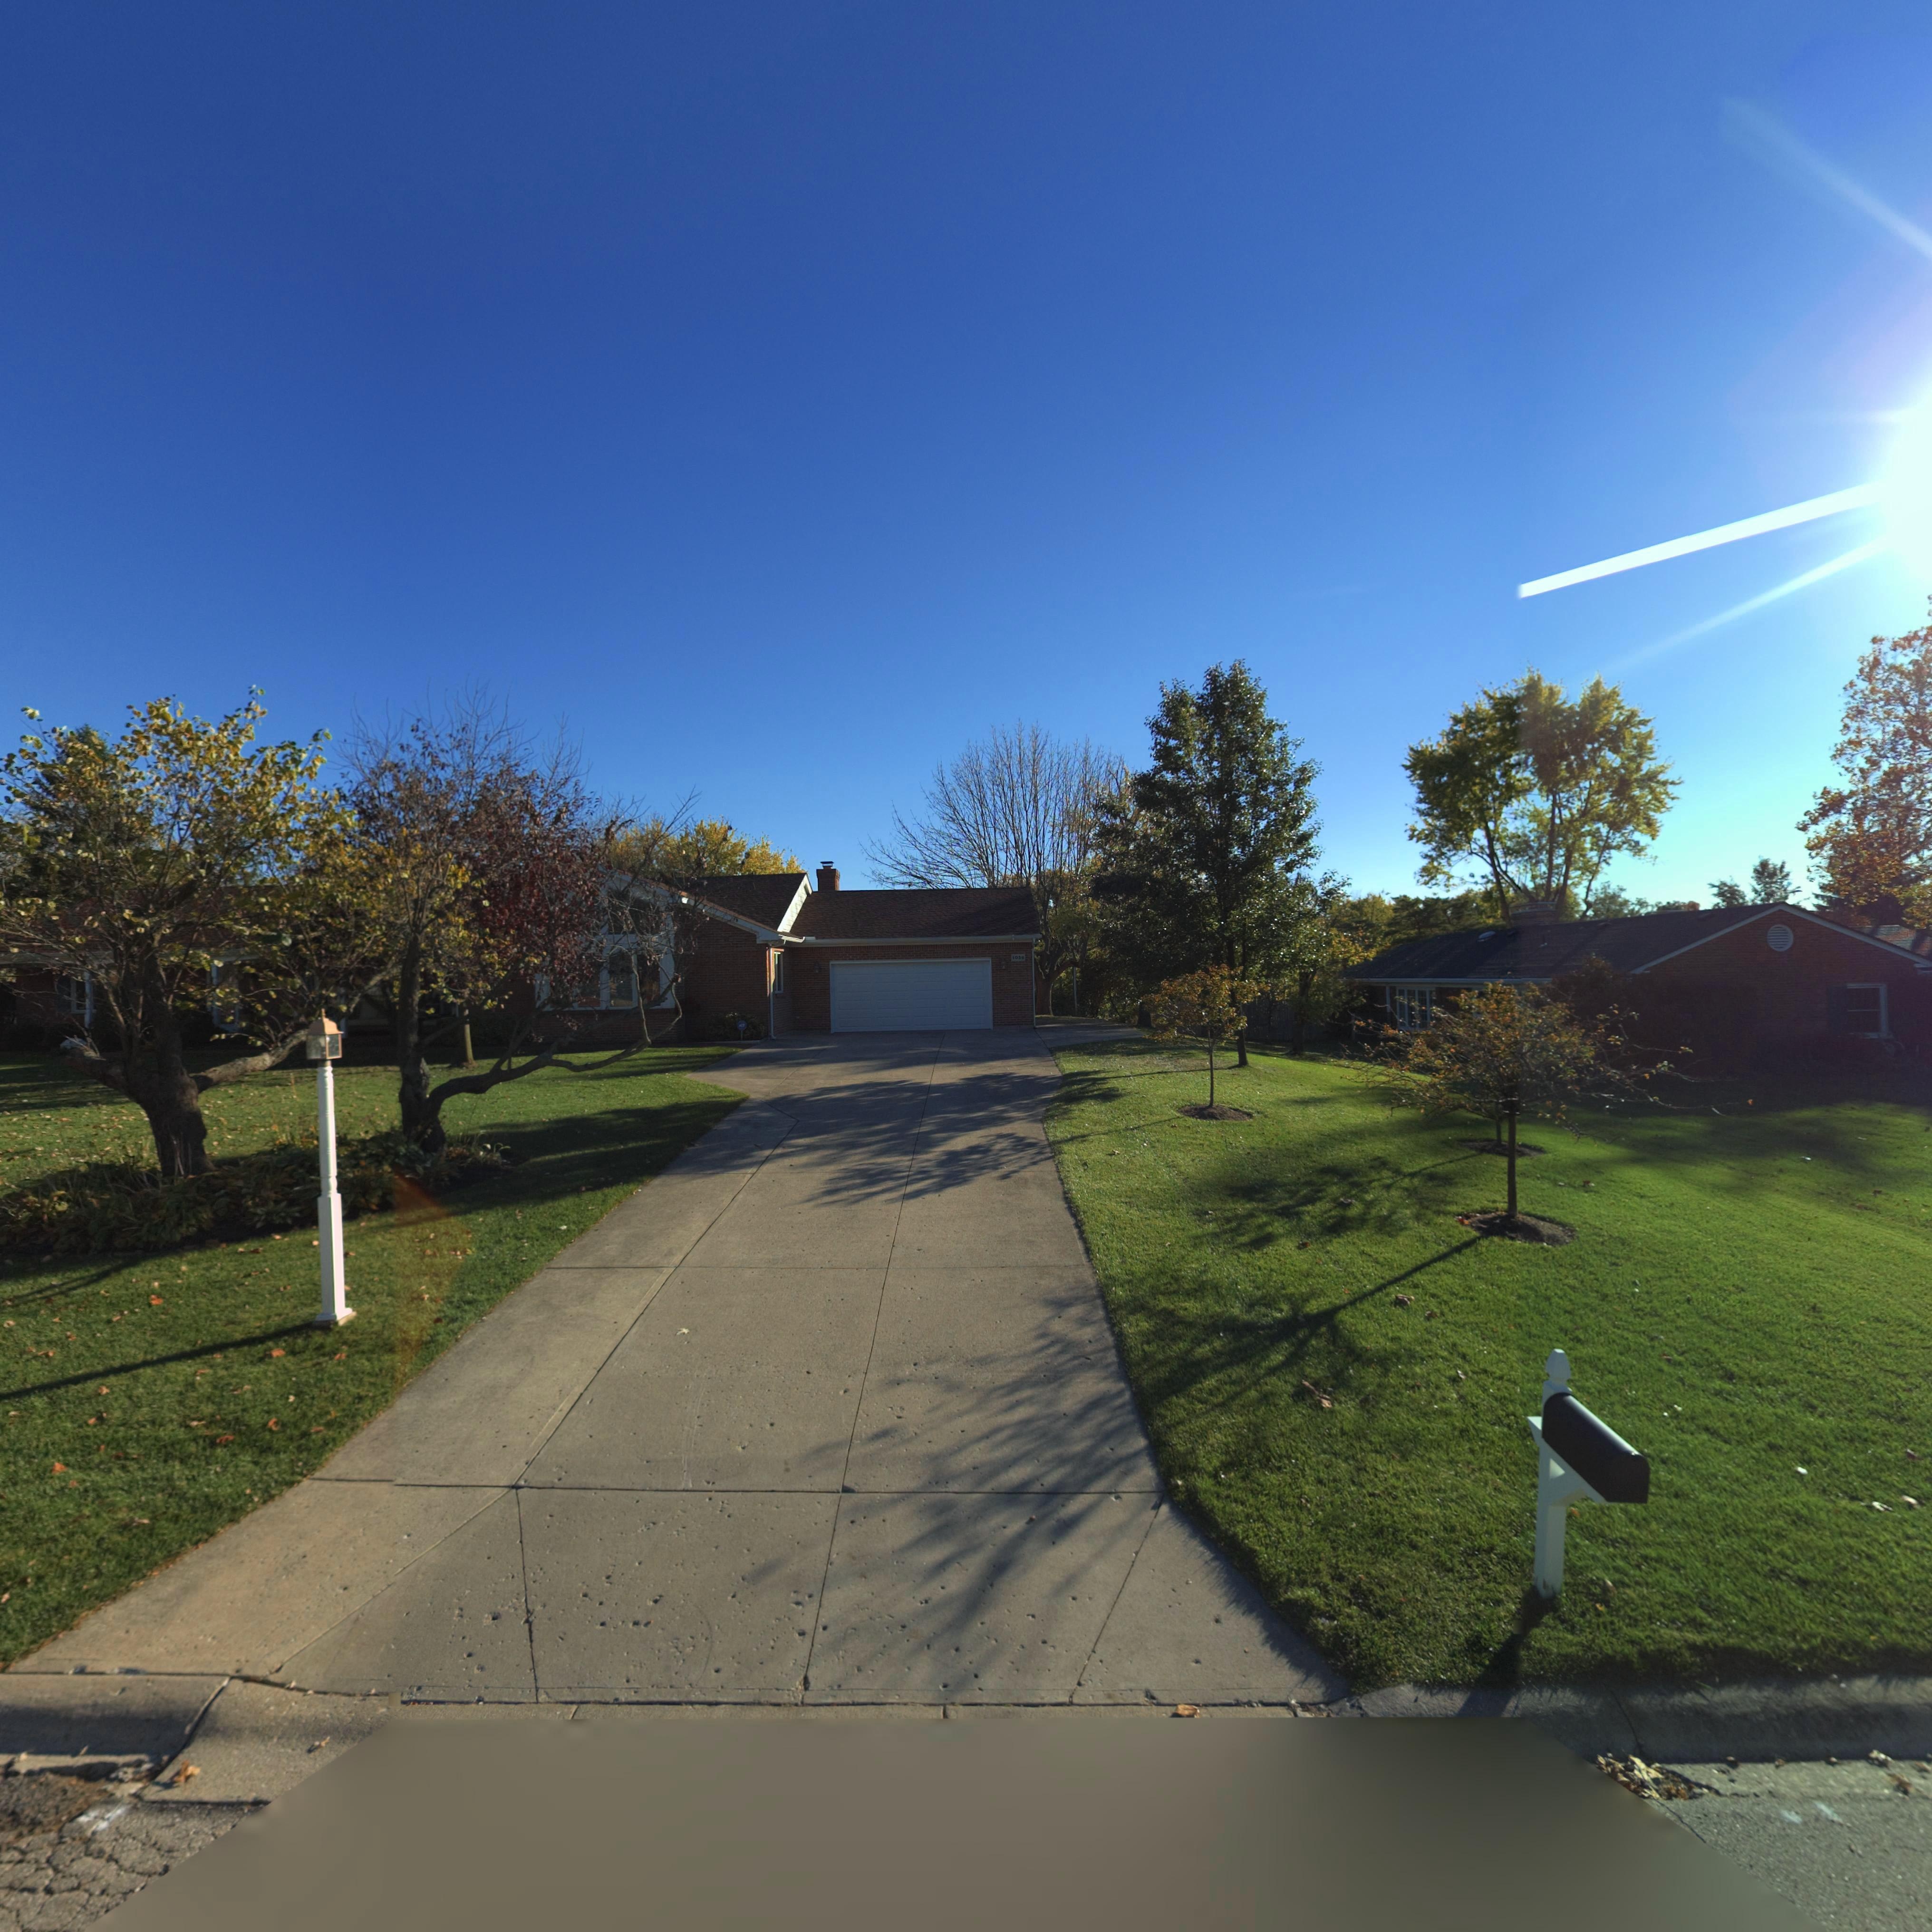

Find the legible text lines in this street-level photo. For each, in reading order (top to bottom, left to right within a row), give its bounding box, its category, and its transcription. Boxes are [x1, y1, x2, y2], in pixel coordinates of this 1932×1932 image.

[1012, 955, 1025, 960] StreetNumber: 10**